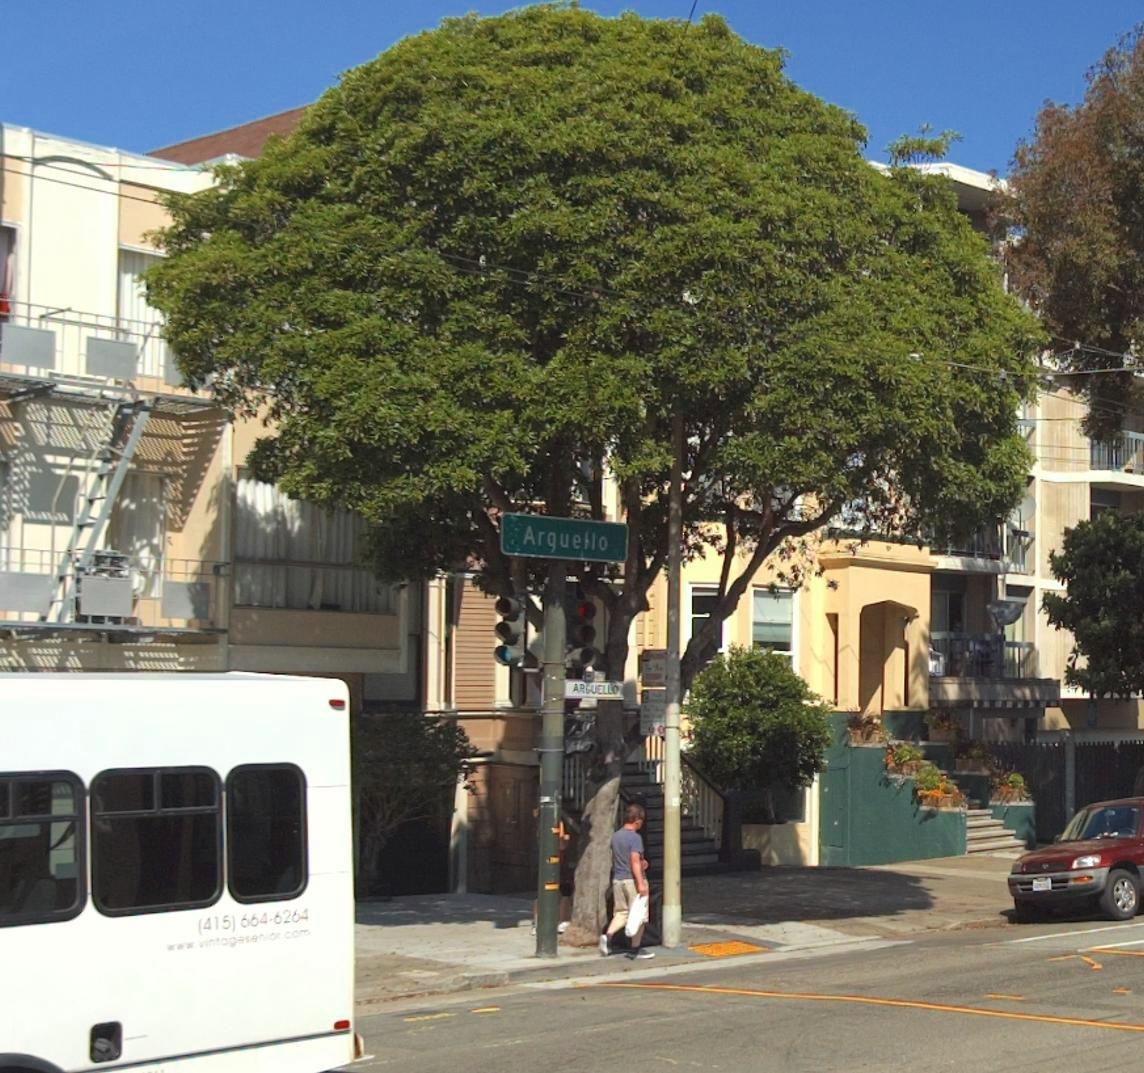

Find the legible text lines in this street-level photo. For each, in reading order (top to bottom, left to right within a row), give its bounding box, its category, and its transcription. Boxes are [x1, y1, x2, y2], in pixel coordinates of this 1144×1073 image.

[521, 524, 610, 554] StreetName: Arguello
[571, 682, 619, 695] StreetName: ARGUELLO
[641, 690, 649, 702] None: 2
[195, 905, 313, 936] None: (415)664-6264
[159, 926, 314, 956] None: www.vintagesenior.com